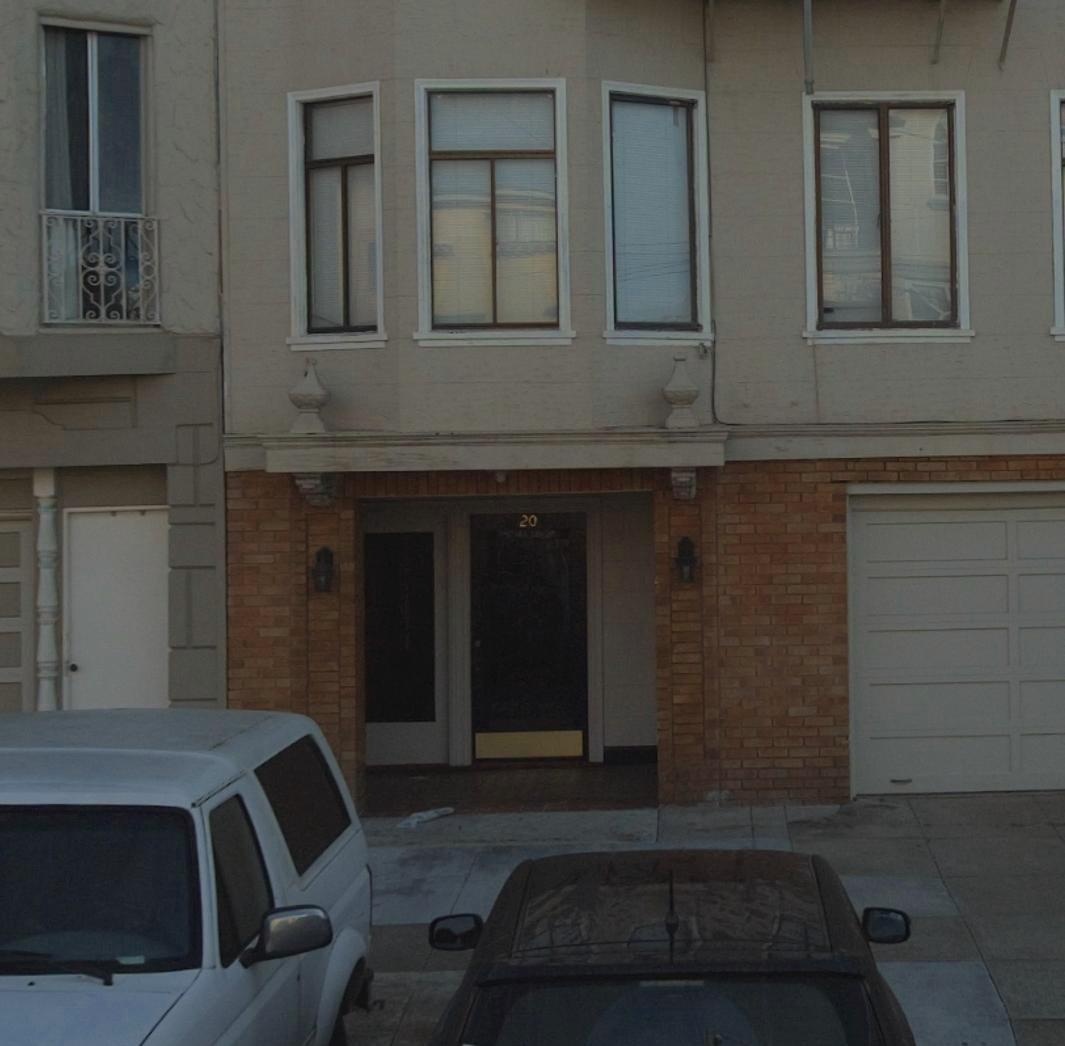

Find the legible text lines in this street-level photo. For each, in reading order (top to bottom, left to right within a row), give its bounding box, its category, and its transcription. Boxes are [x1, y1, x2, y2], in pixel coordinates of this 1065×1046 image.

[518, 512, 539, 530] StreetNumber: 20